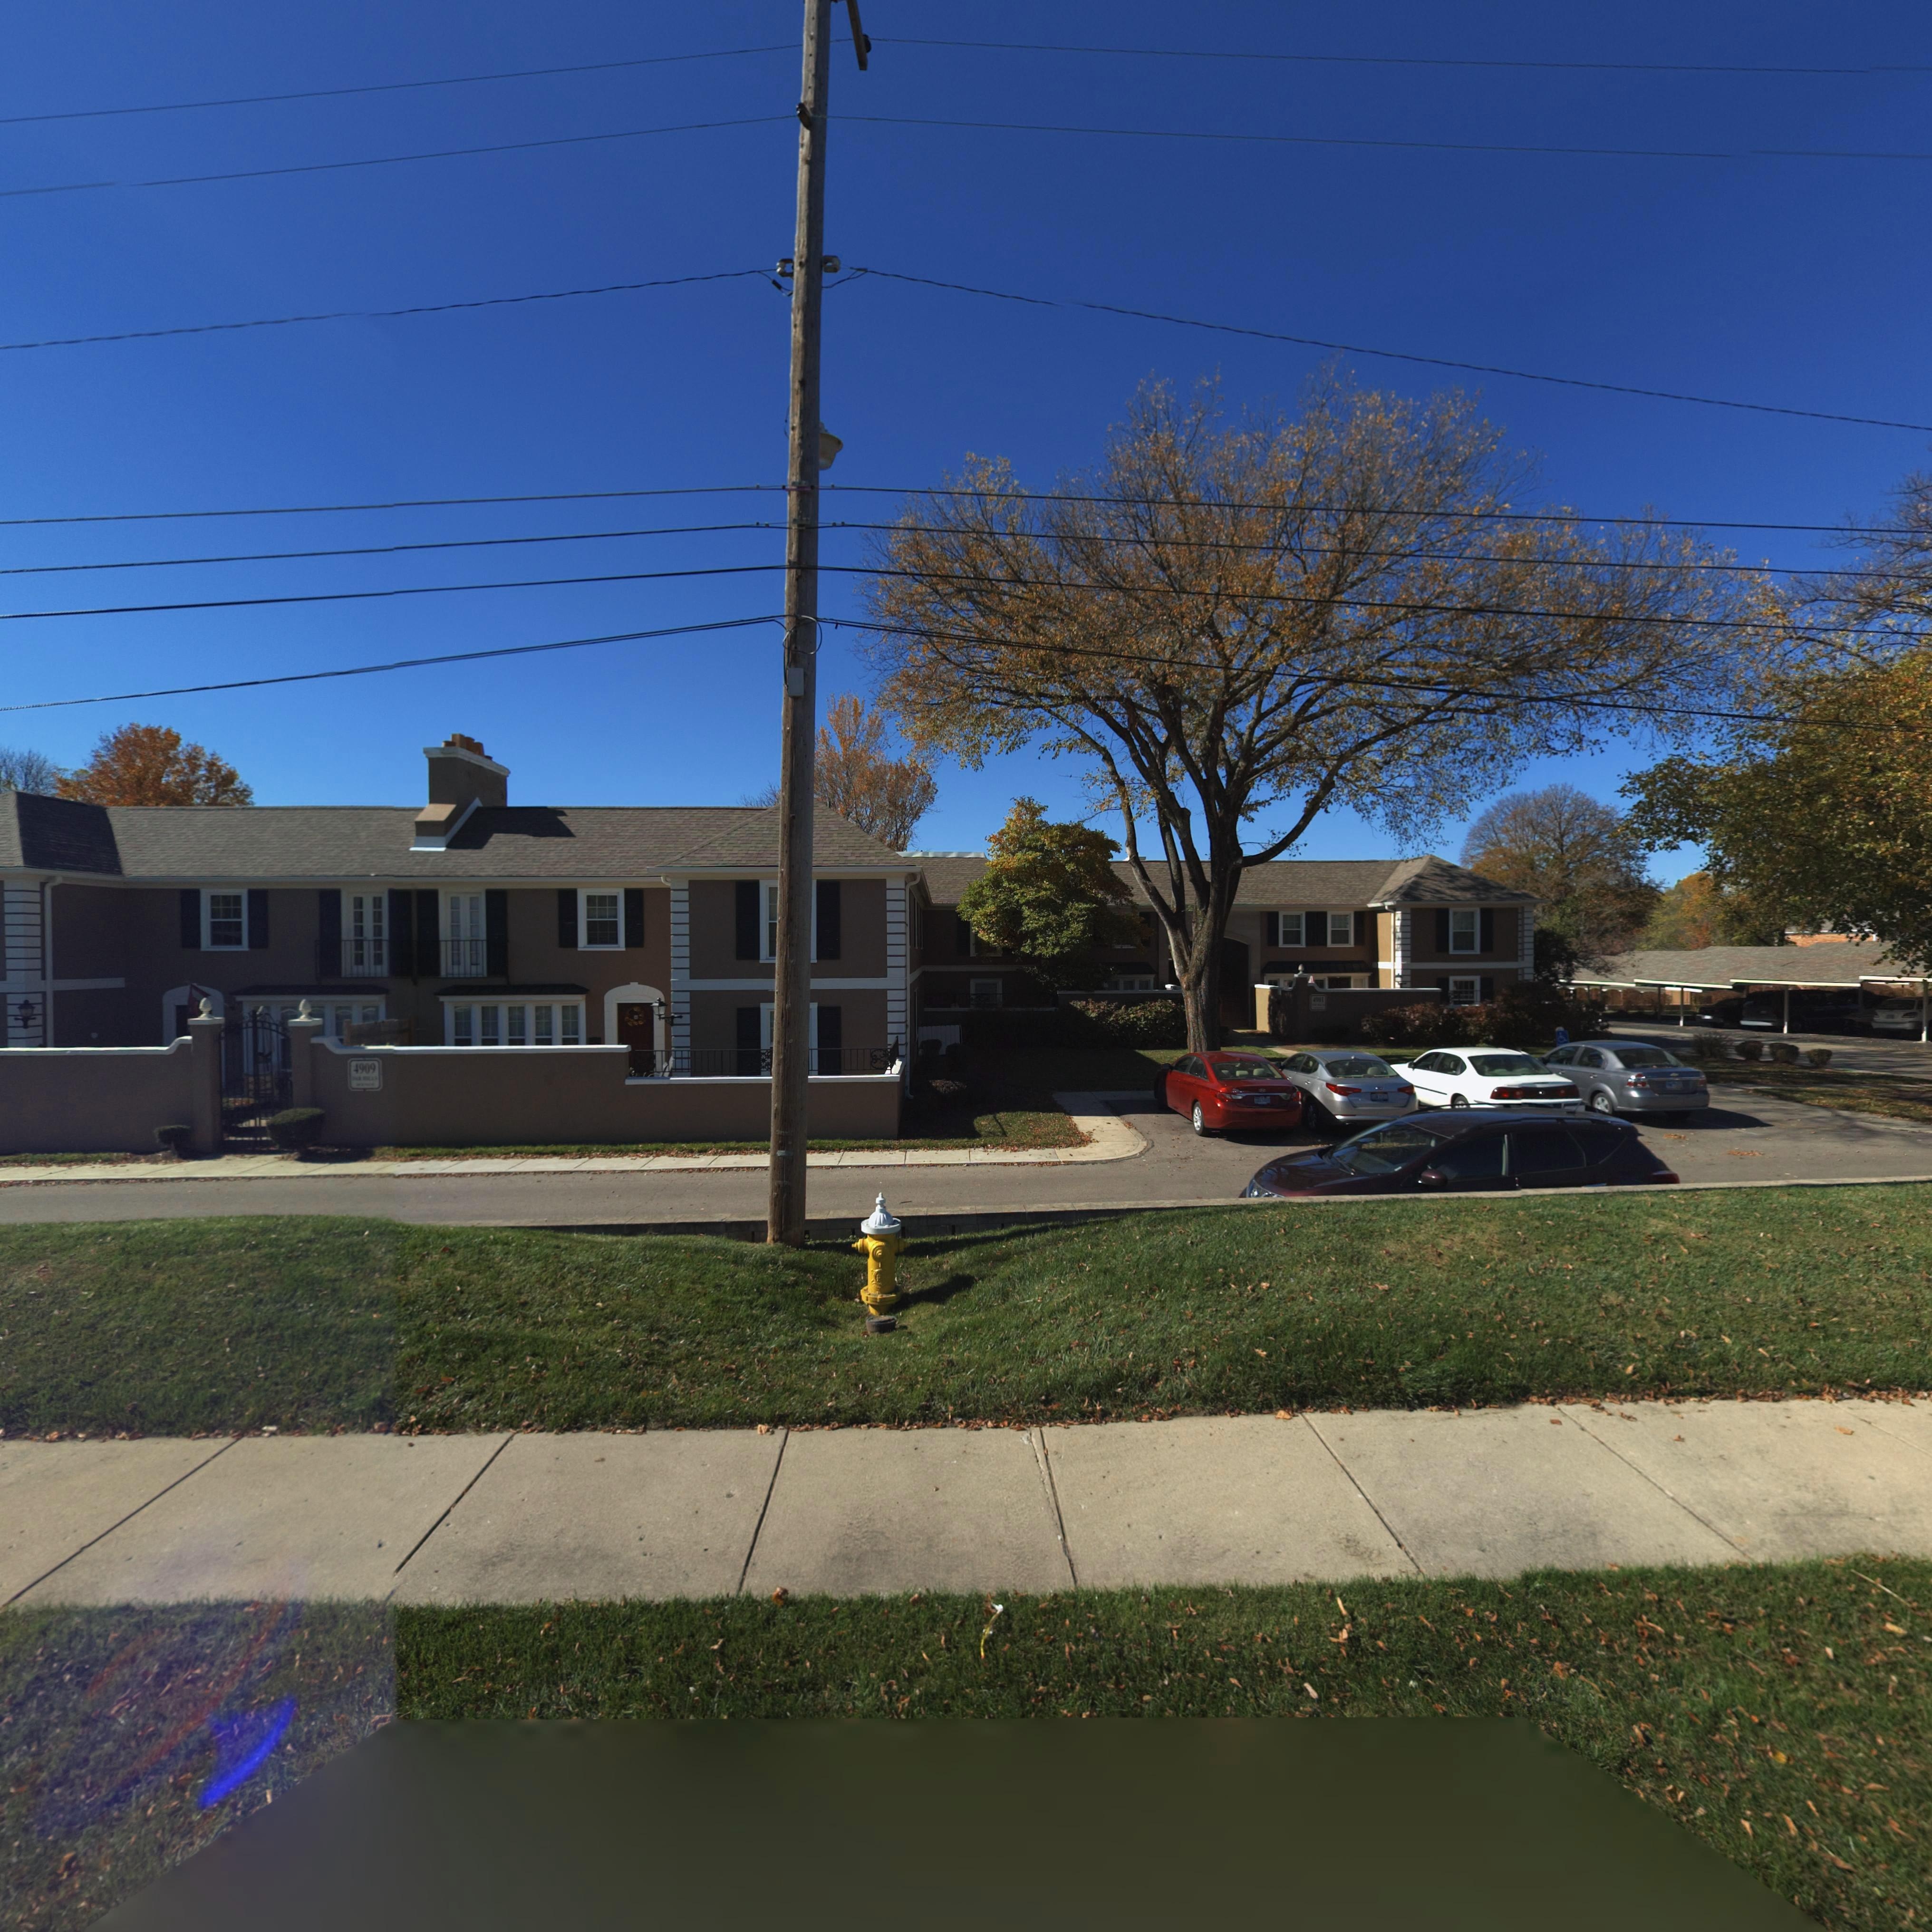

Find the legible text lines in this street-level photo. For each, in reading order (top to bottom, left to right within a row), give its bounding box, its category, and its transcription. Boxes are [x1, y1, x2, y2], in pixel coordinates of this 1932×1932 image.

[1312, 996, 1324, 1002] StreetNumber: 4901
[352, 1063, 376, 1074] StreetNumber: 4909